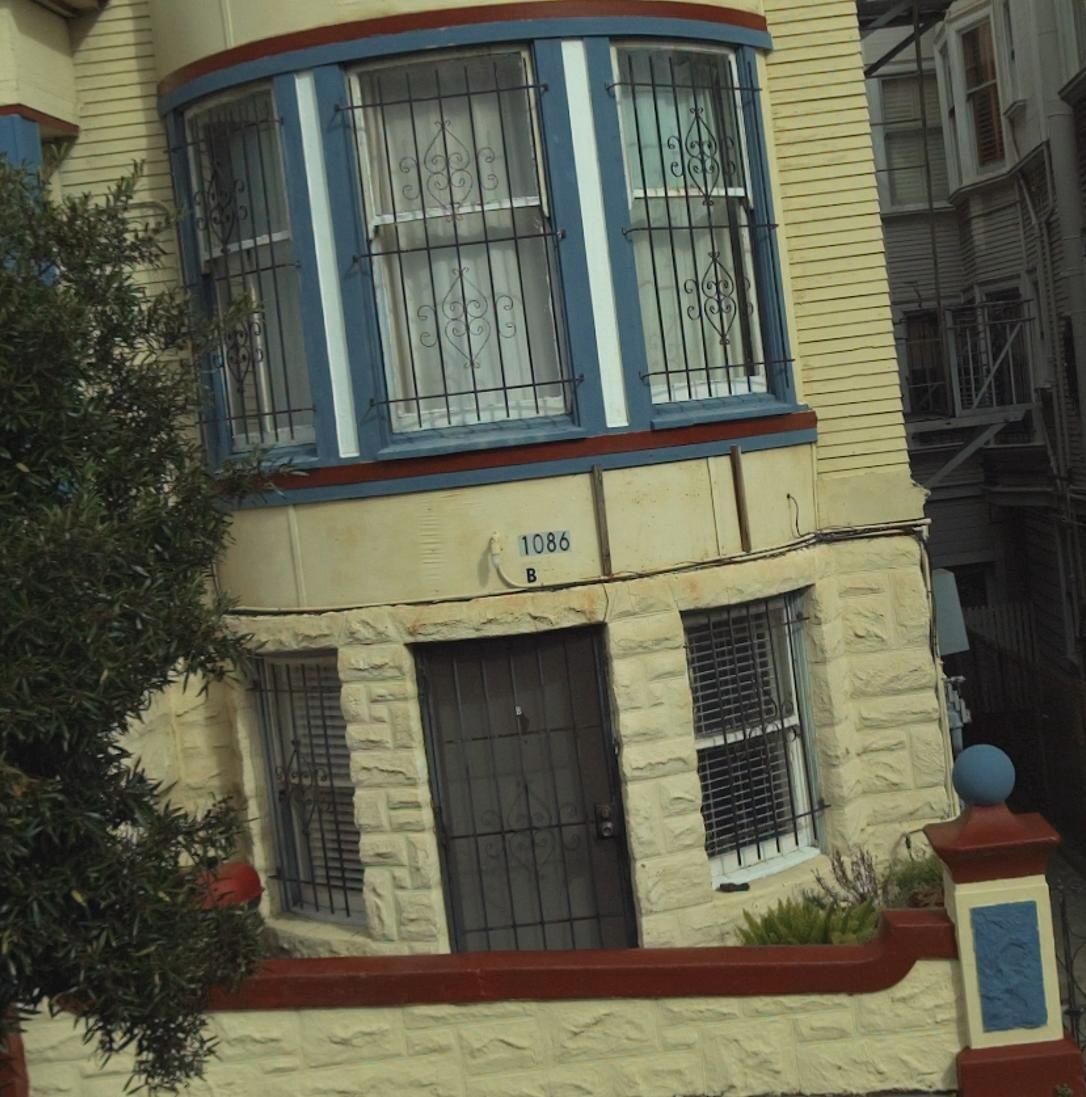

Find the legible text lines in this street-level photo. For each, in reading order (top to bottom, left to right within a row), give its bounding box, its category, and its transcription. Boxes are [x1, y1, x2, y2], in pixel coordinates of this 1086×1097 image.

[519, 527, 572, 557] StreetNumber: 1086
[524, 566, 539, 585] StreetNumber: B